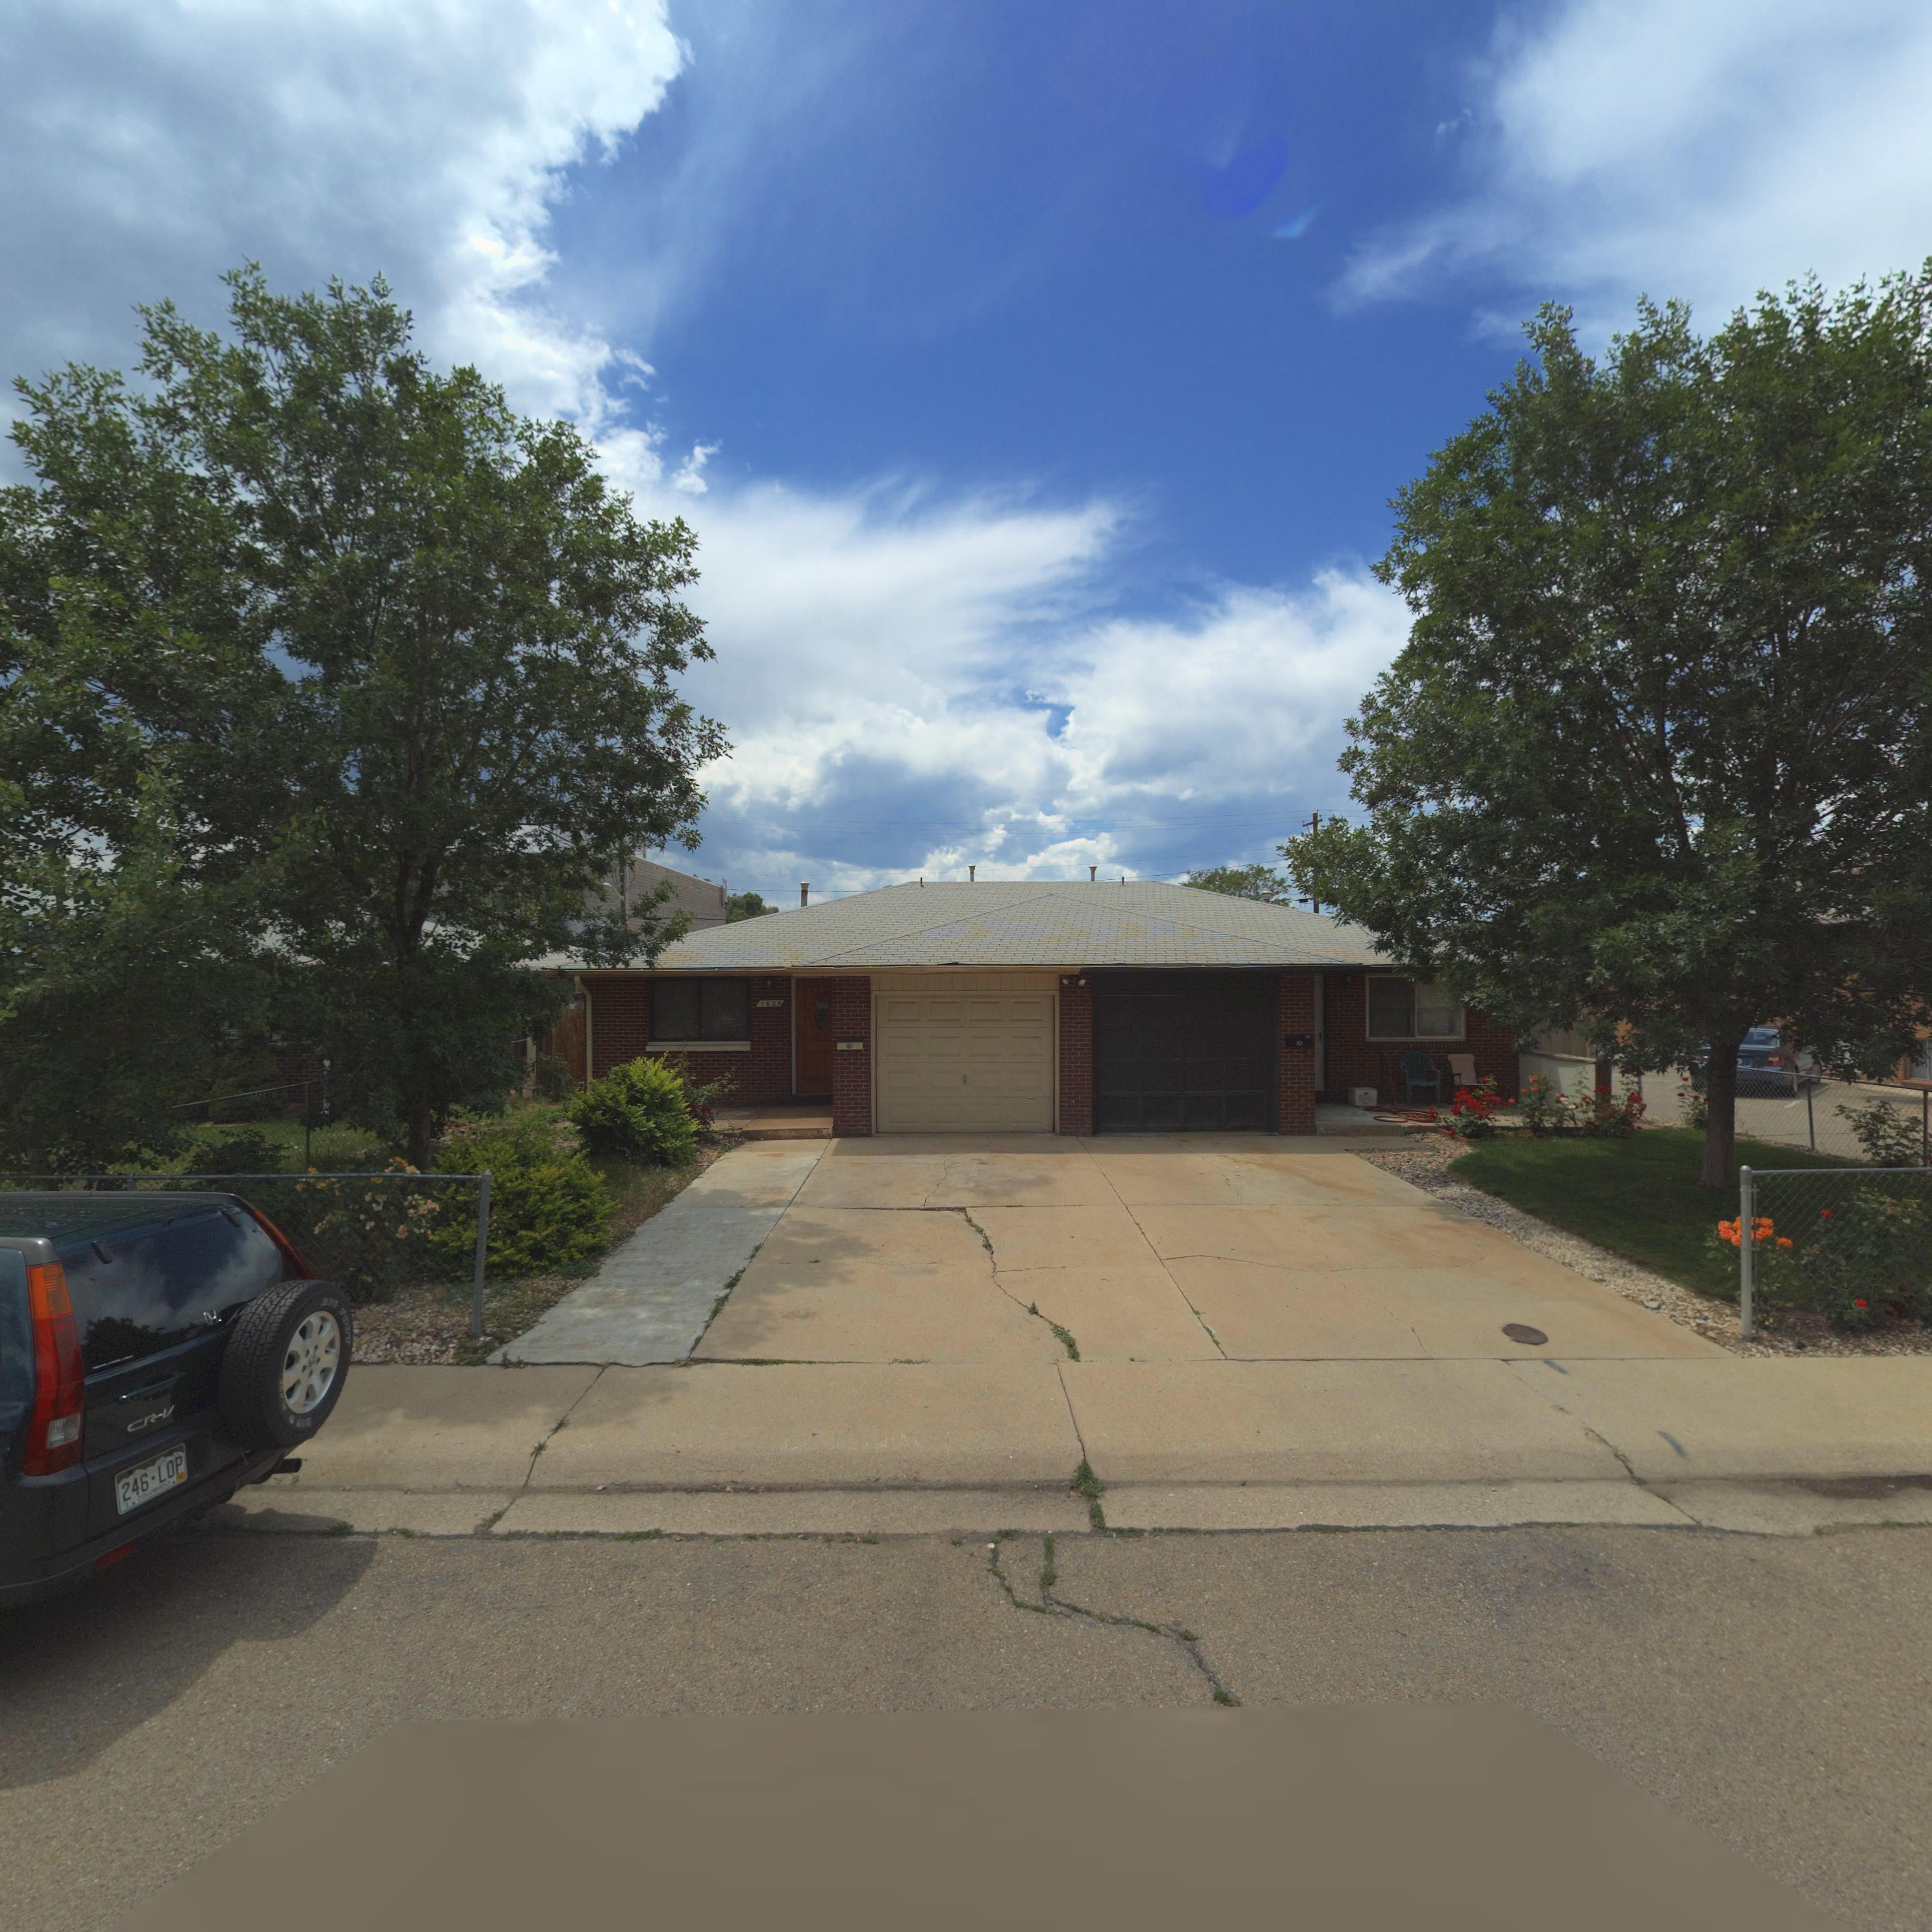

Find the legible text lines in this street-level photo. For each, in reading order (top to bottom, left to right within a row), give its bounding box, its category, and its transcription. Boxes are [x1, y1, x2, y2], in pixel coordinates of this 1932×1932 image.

[761, 1000, 781, 1007] StreetNumber: 1625
[1331, 1000, 1355, 1010] StreetNumber: *627